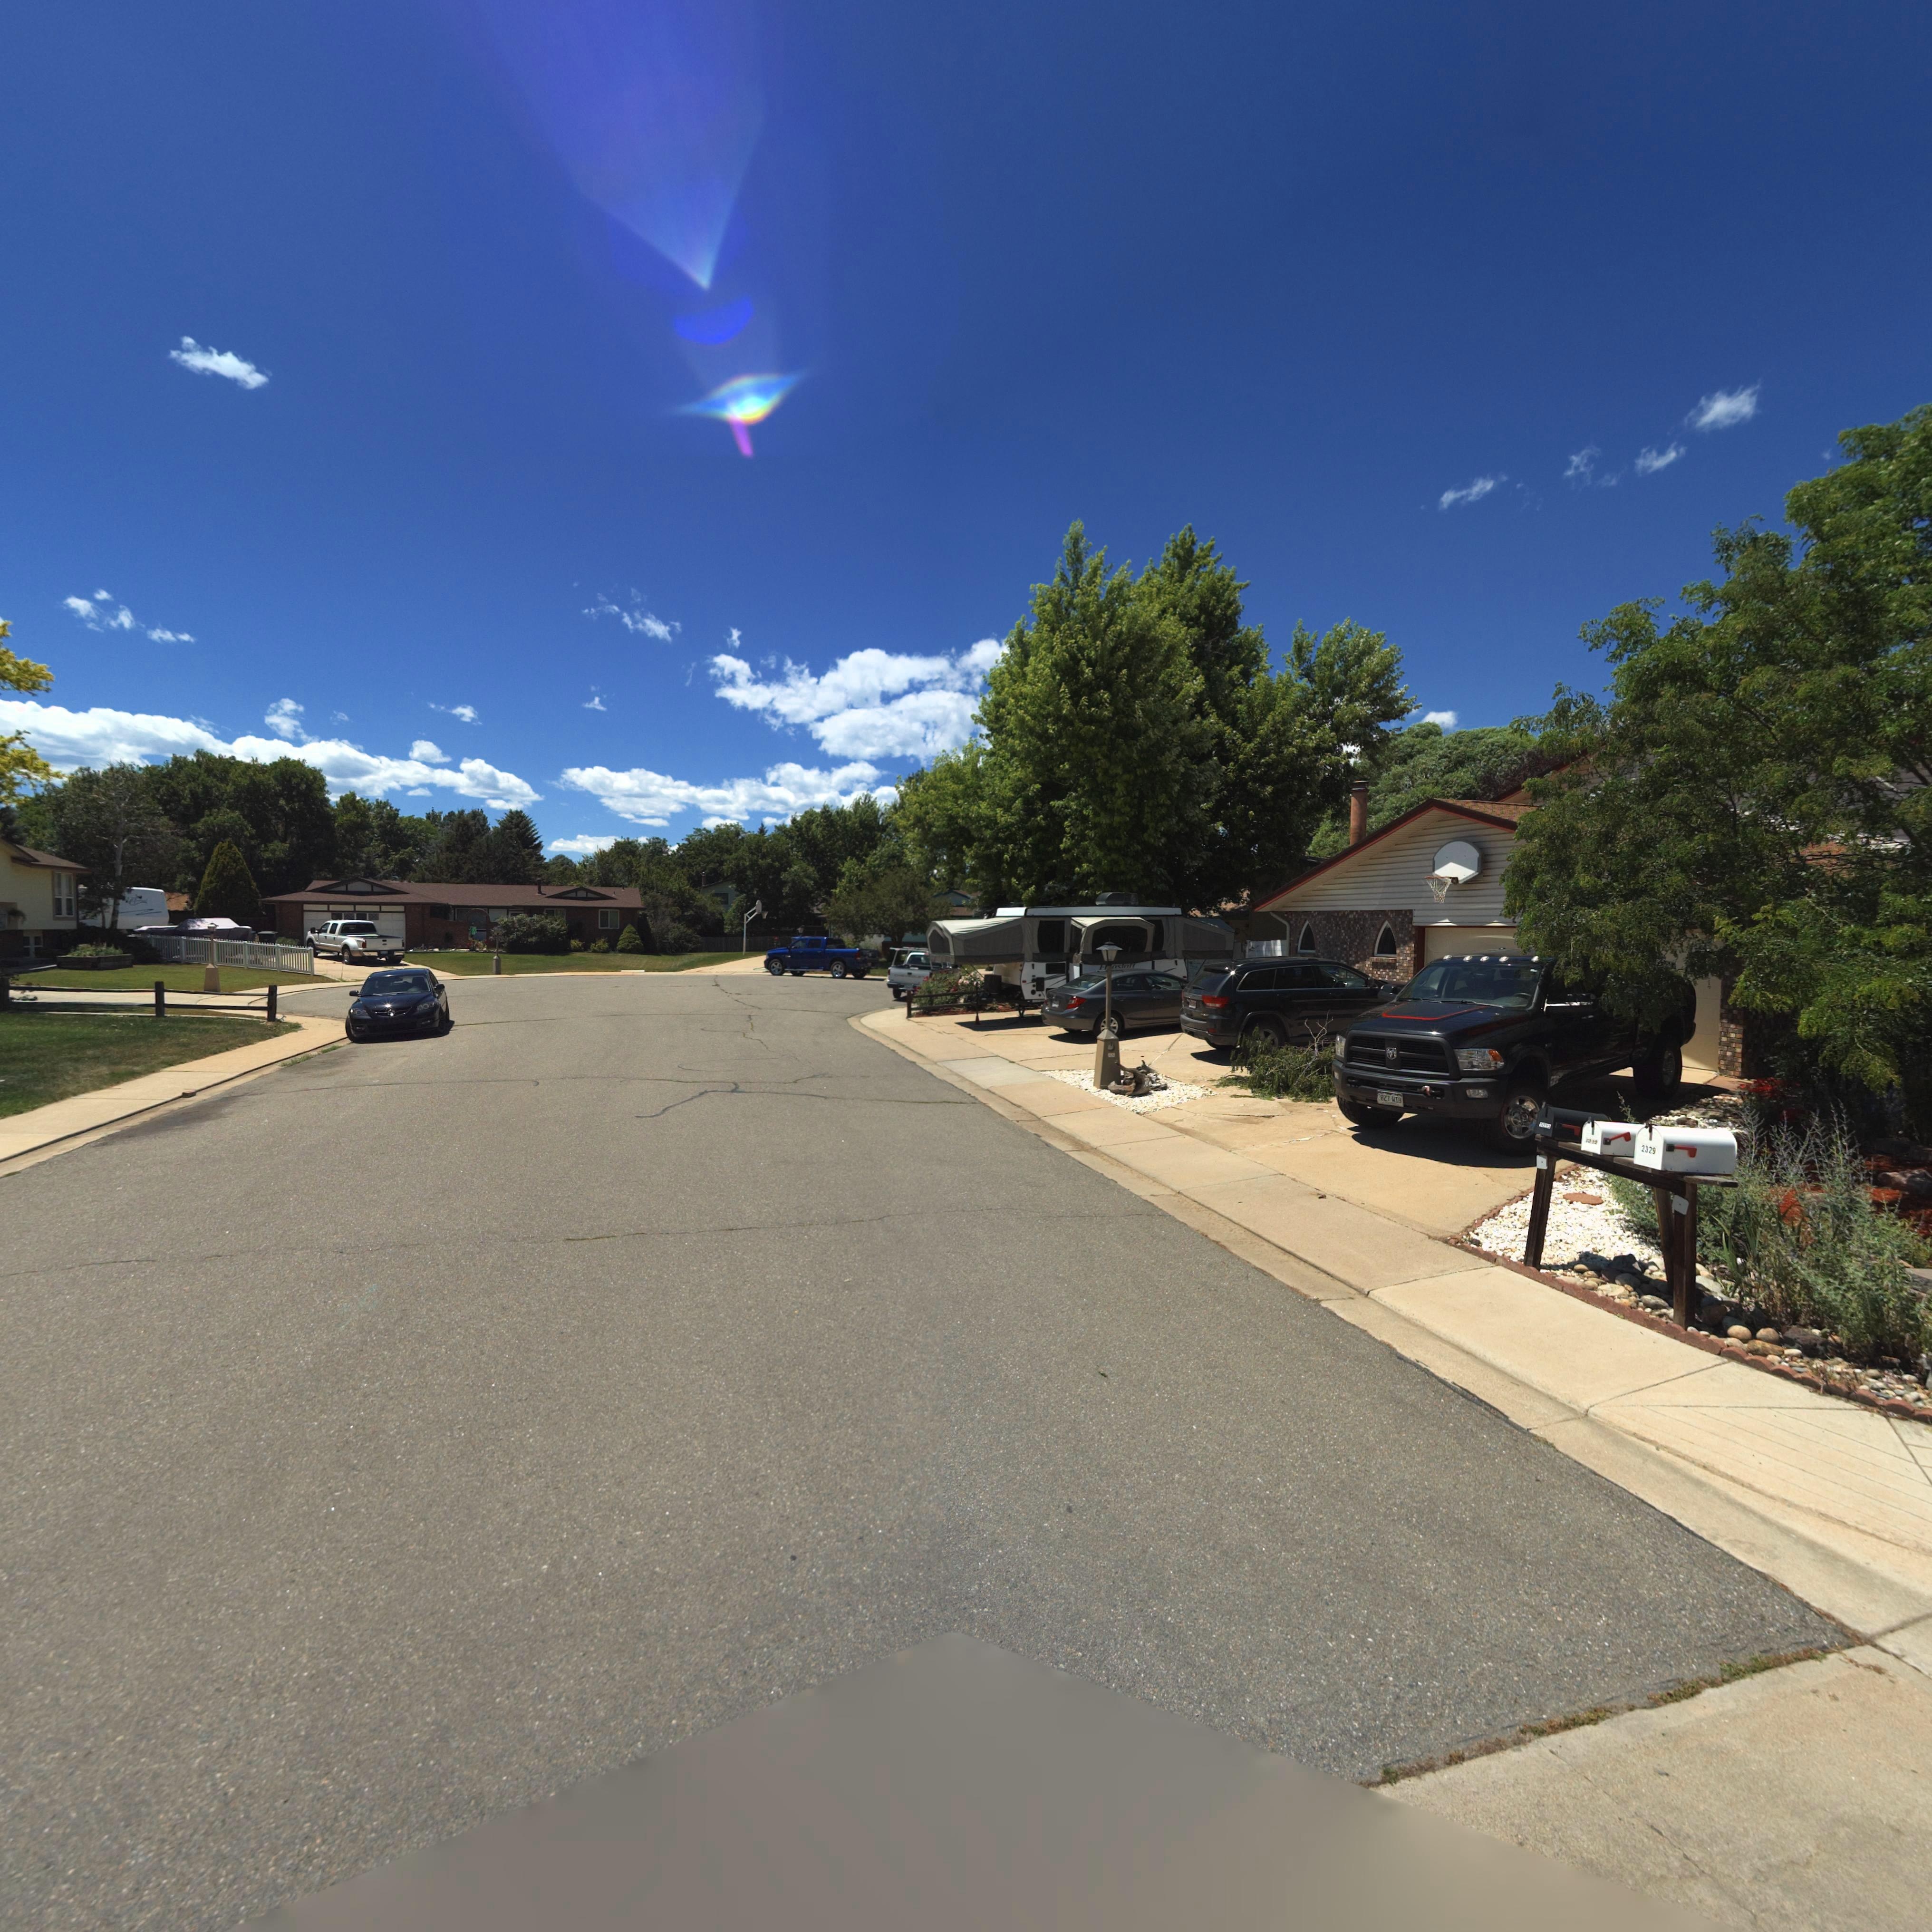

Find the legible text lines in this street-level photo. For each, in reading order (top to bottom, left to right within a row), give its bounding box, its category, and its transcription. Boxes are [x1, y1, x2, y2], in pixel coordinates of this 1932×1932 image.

[1539, 1122, 1551, 1129] StreetNumber: *0**
[1584, 1138, 1598, 1145] StreetNumber: **10
[1641, 1144, 1656, 1155] StreetNumber: 2329